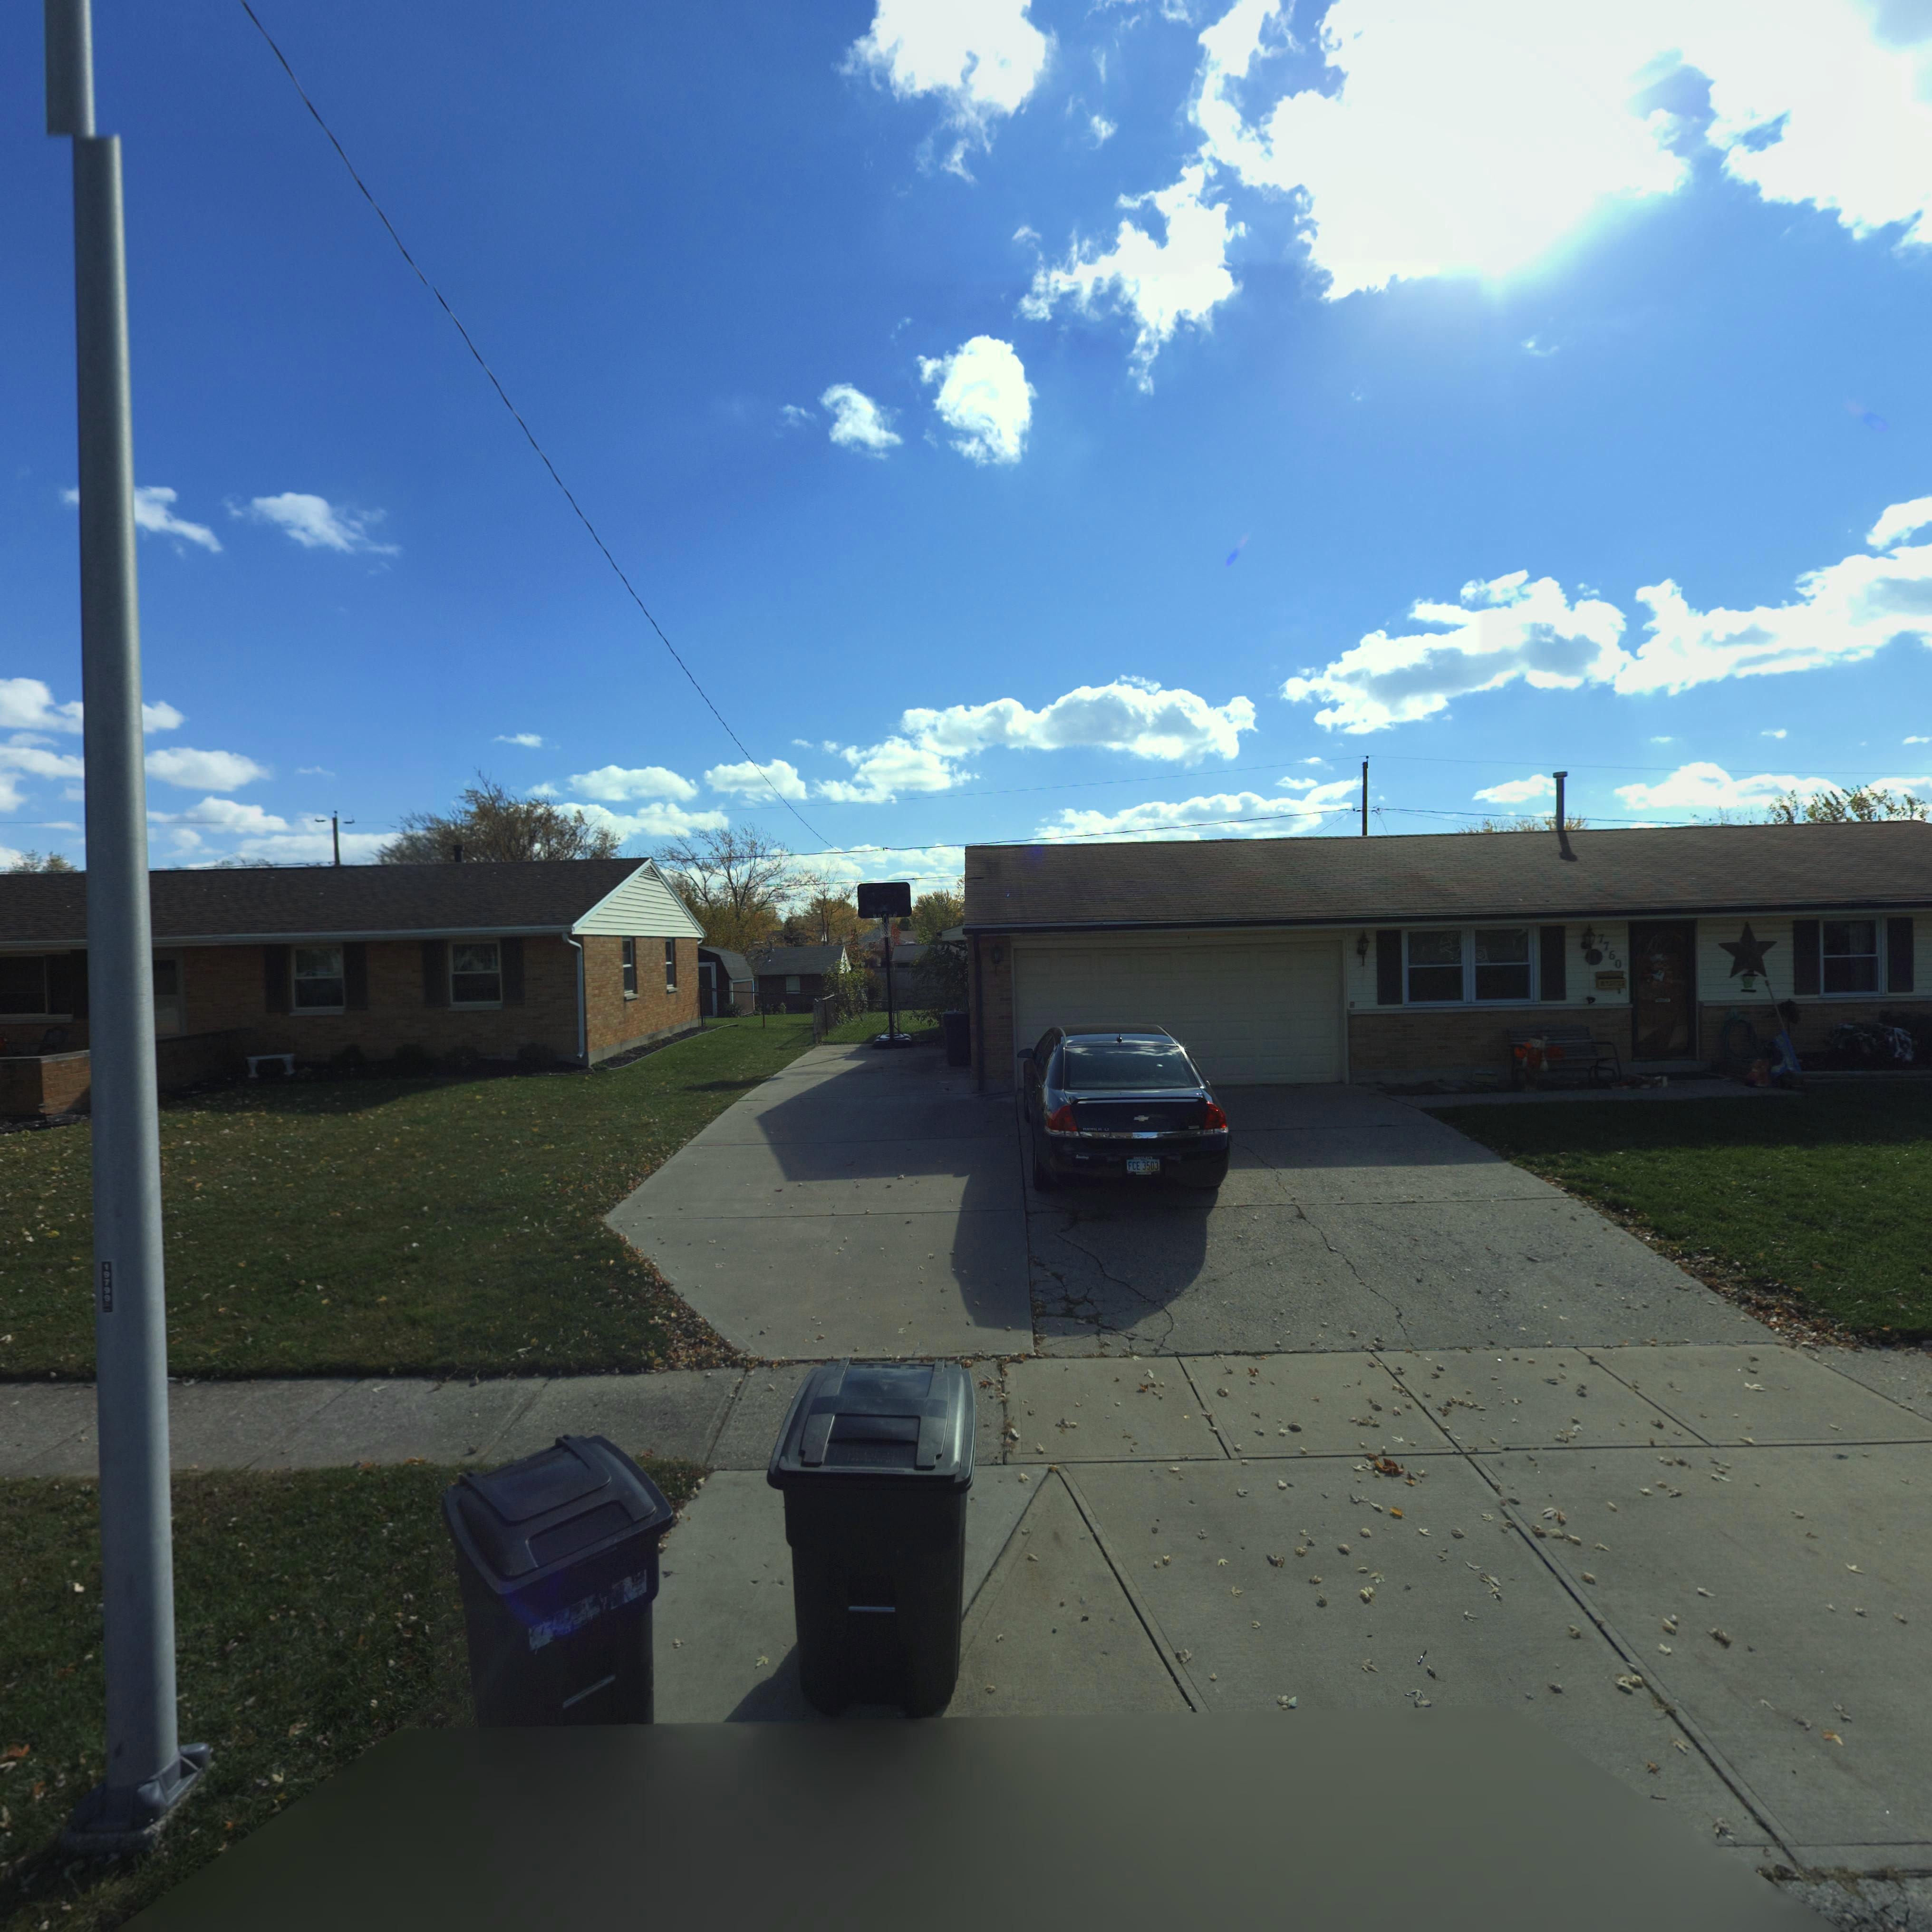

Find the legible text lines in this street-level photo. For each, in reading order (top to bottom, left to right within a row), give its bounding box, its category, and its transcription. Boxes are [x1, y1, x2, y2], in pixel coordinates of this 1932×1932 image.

[1598, 933, 1622, 969] StreetNumber: 7760